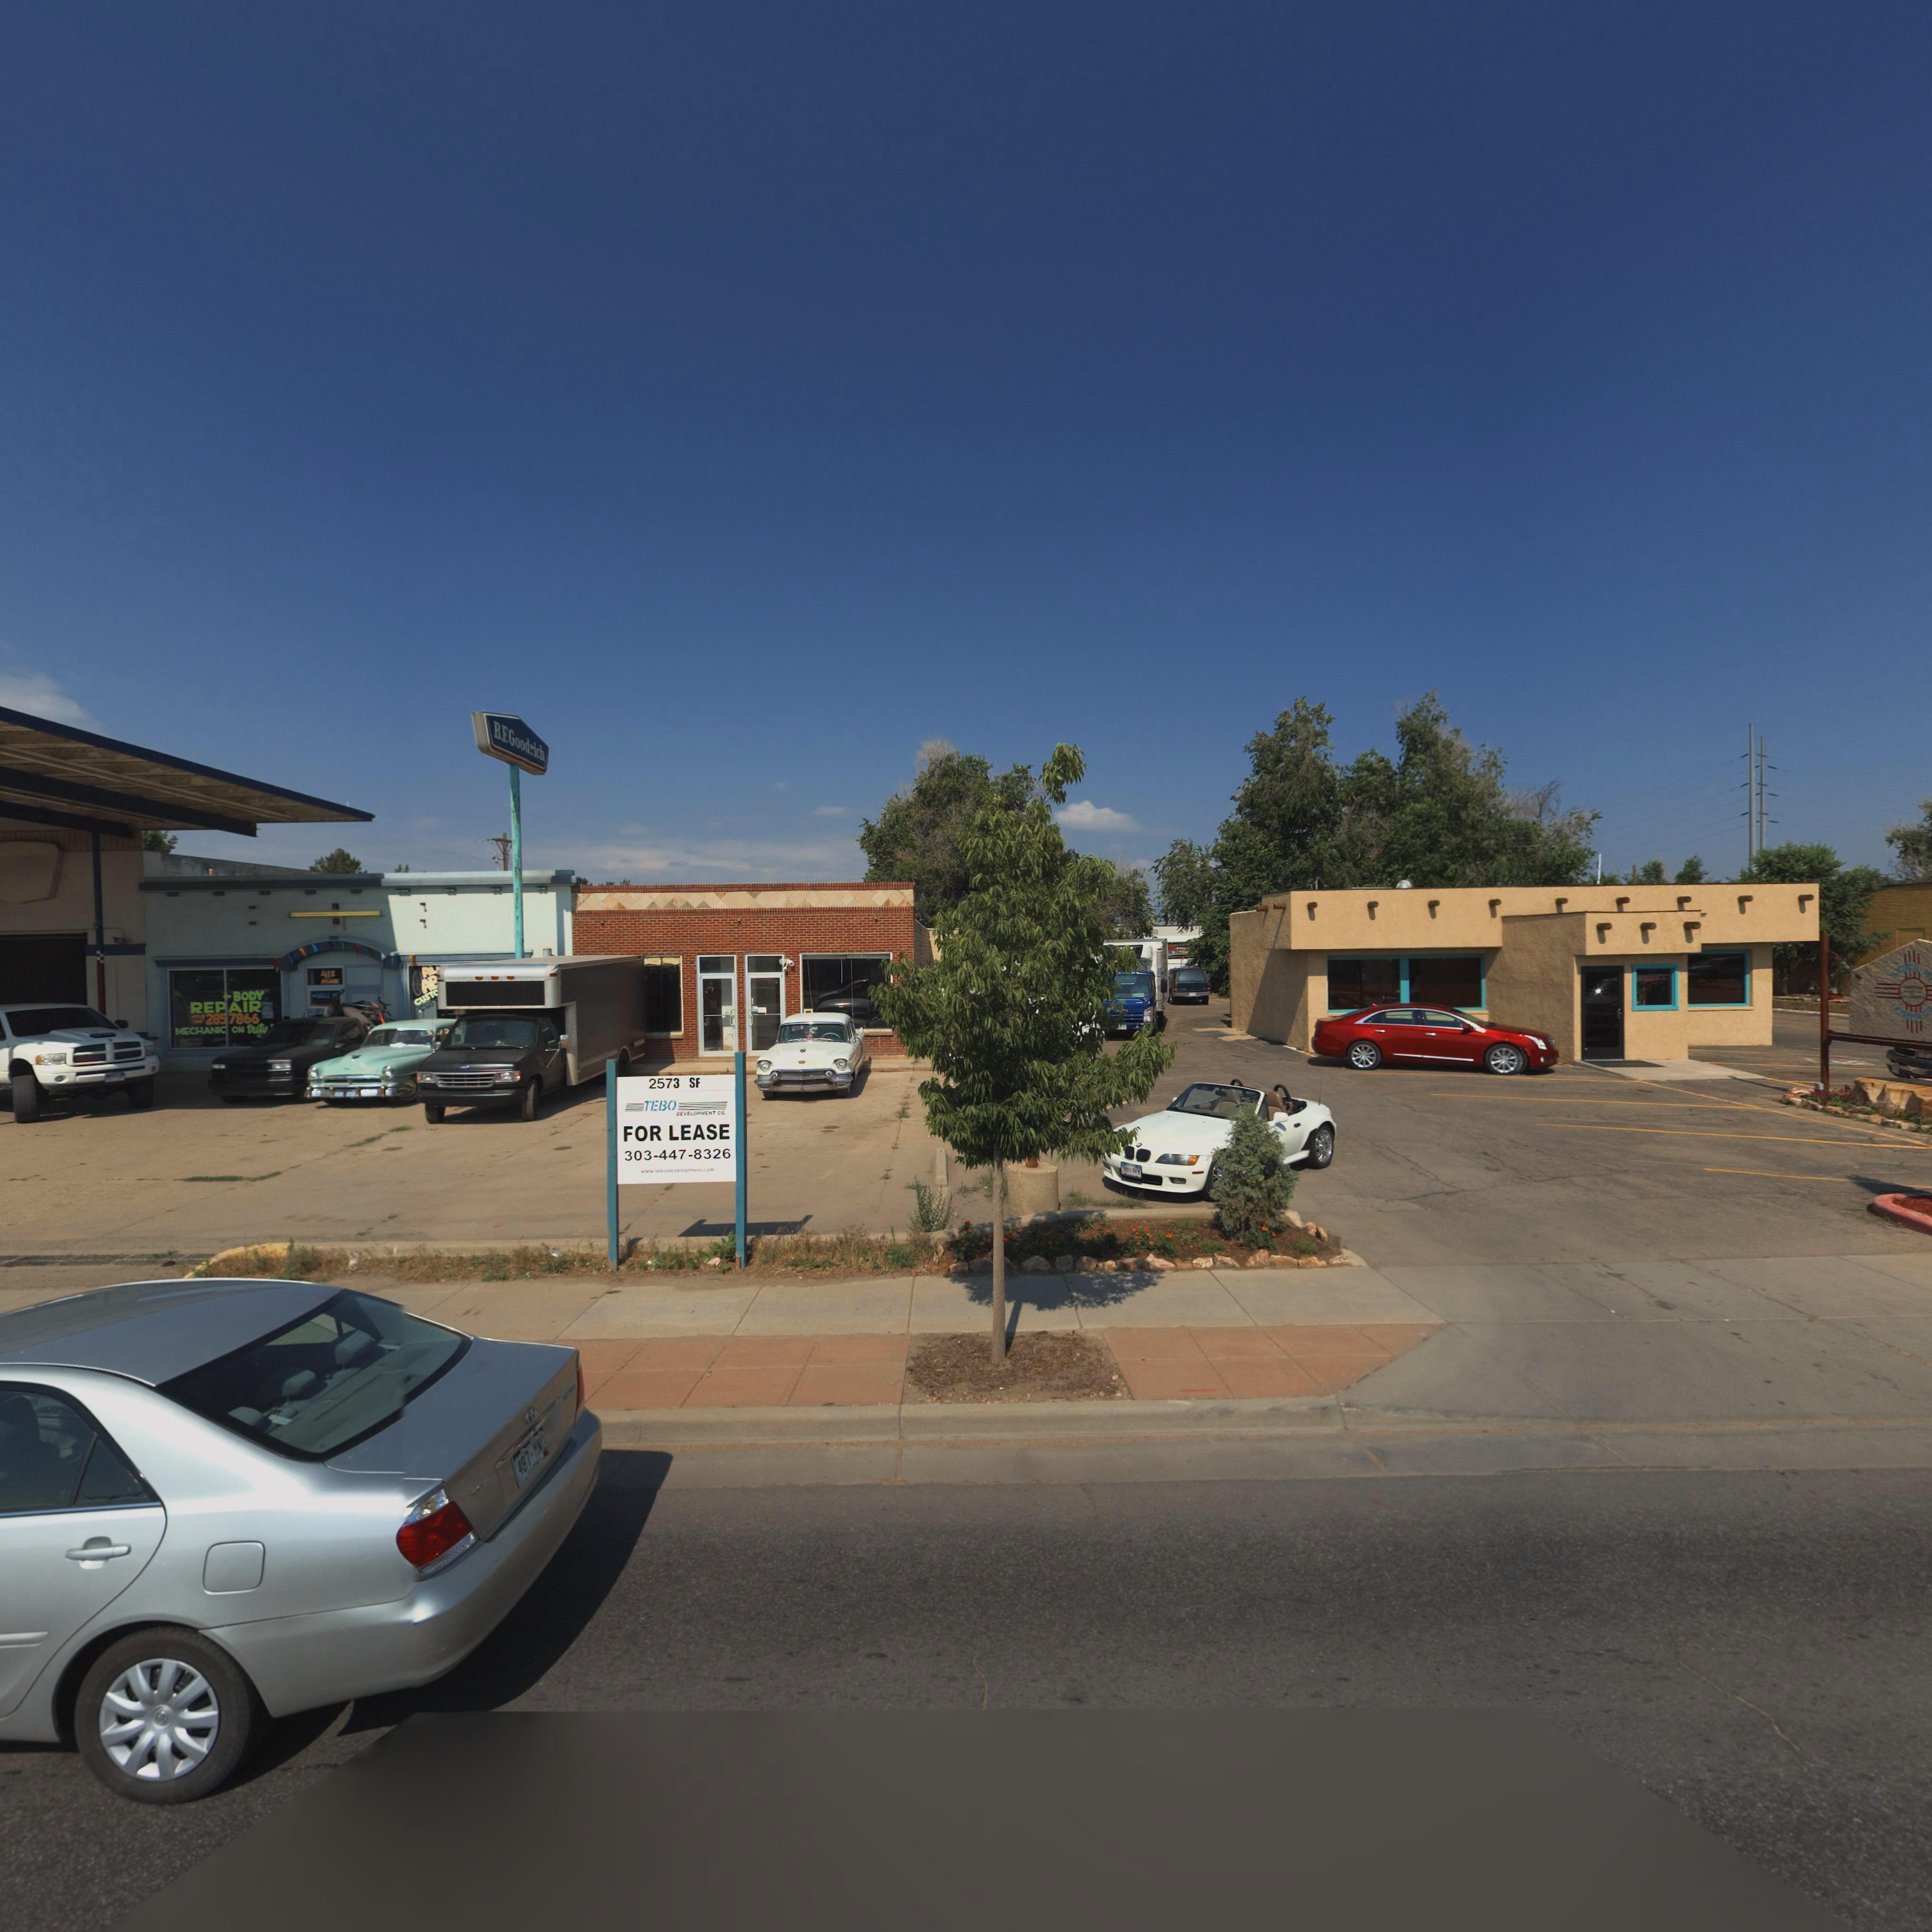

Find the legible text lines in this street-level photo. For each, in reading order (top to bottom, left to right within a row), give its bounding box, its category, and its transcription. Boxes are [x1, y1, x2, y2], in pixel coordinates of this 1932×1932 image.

[320, 970, 330, 978] StreetNumber: 41
[330, 970, 335, 977] StreetName: S
[421, 965, 437, 978] BusinessName: AL
[320, 978, 338, 984] StreetName: M***
[421, 975, 437, 994] BusinessName: A*
[414, 989, 437, 1005] BusinessName: CUST*